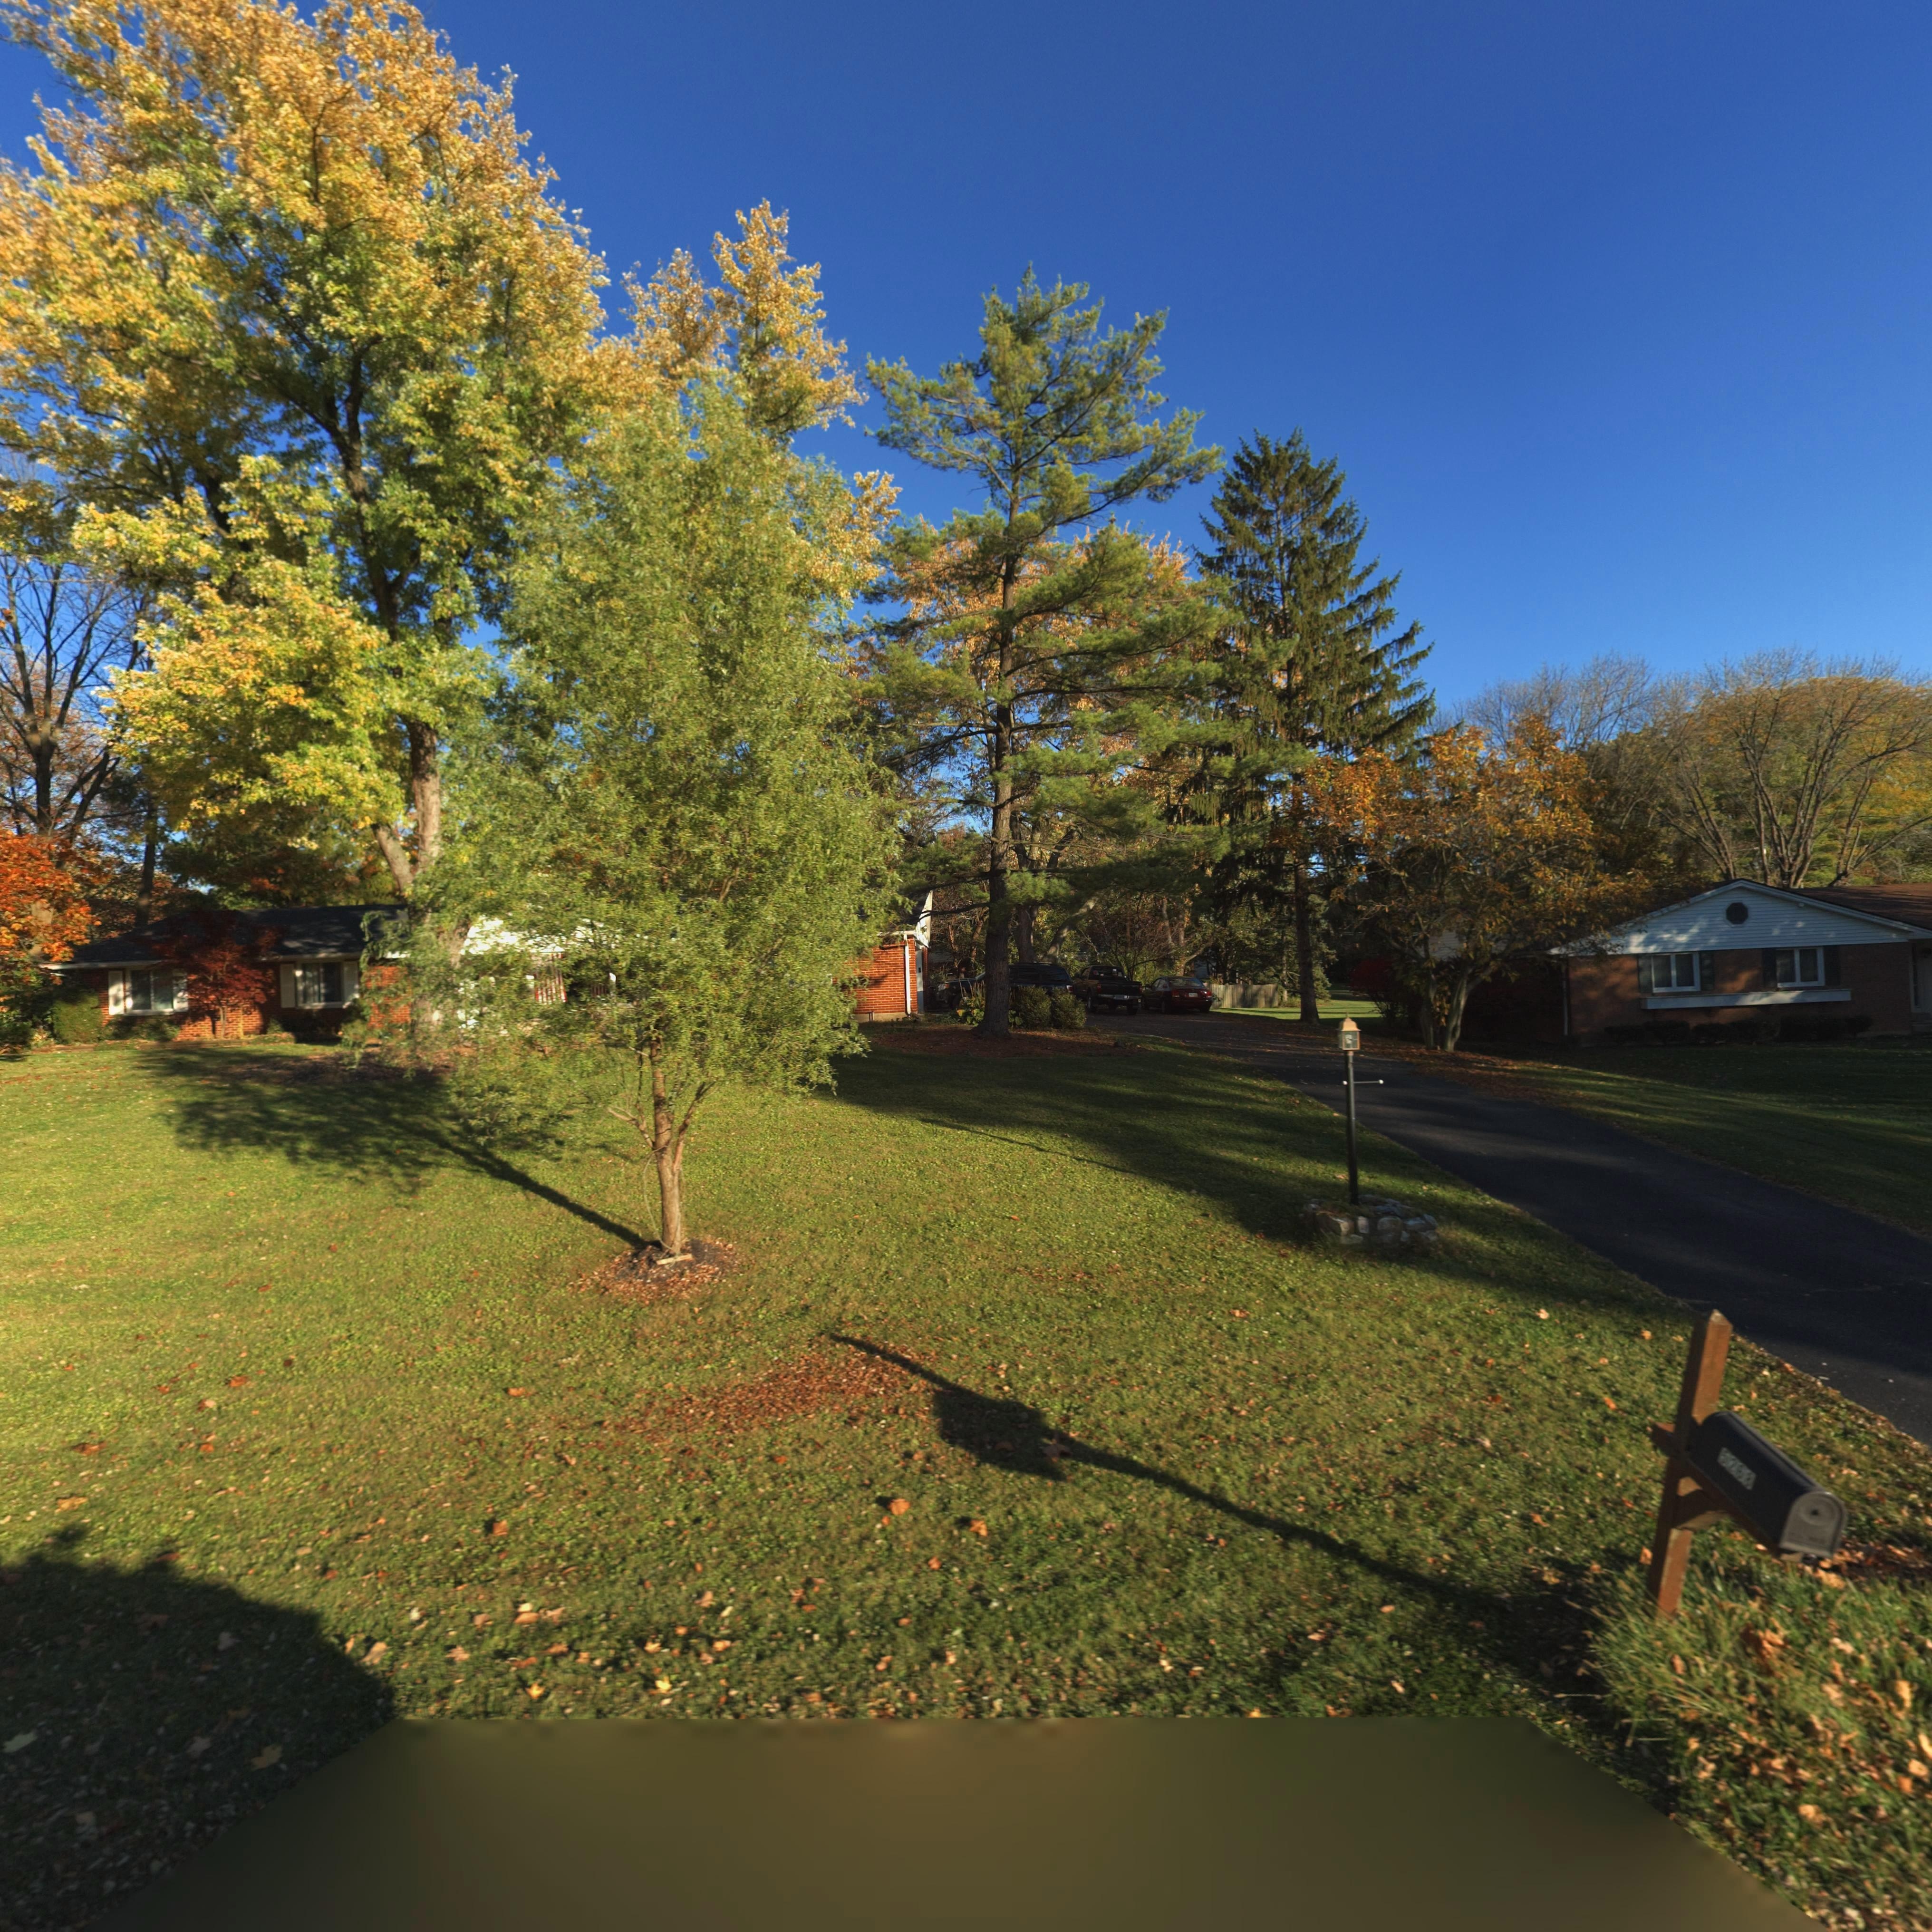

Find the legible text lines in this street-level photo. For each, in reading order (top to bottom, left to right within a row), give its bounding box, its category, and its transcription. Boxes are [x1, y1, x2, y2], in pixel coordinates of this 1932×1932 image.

[1714, 1445, 1759, 1492] StreetNumber: 5268